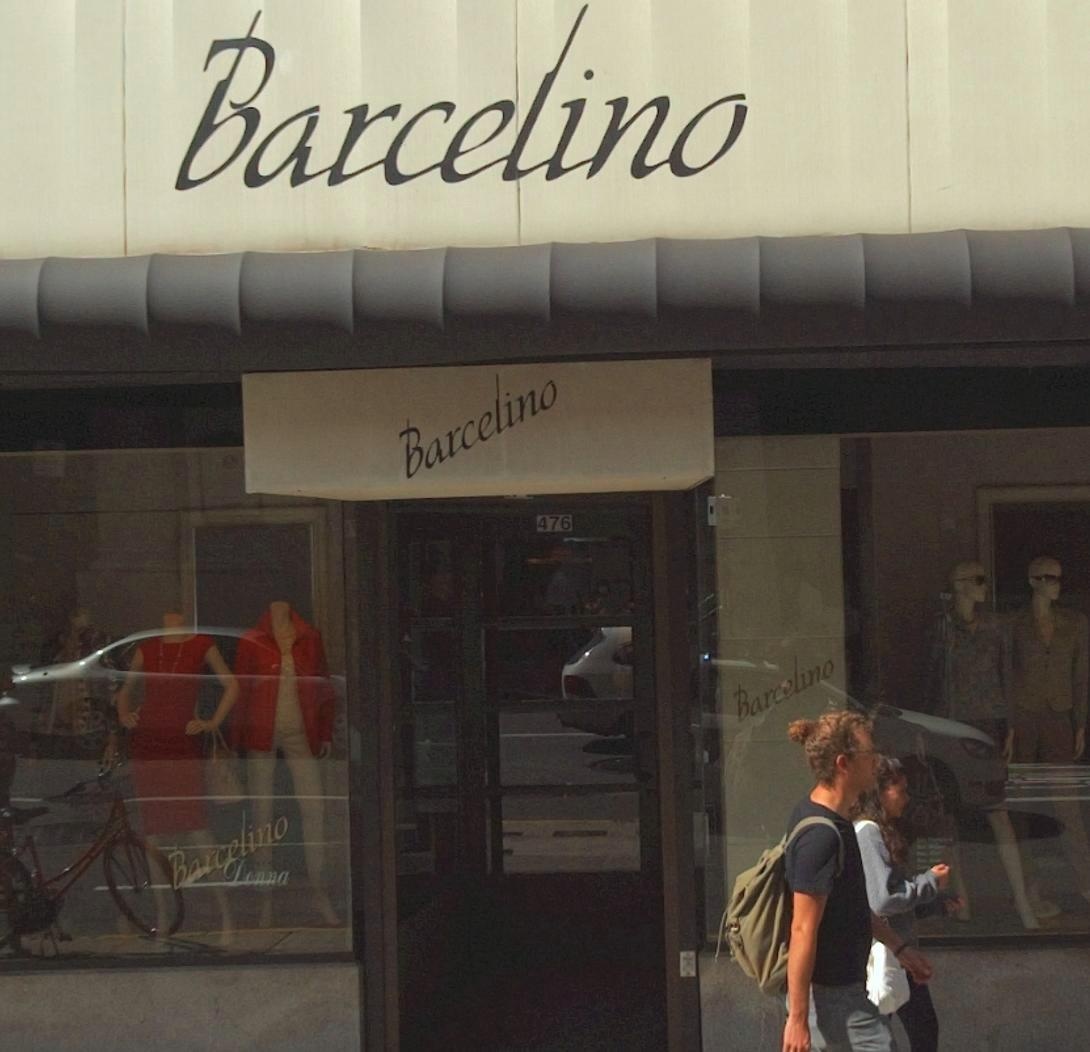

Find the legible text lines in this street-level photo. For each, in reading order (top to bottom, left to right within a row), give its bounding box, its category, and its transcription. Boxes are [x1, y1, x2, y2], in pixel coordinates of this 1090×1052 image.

[169, 1, 756, 194] BusinessName: Barcelino
[395, 367, 567, 481] BusinessName: Barcelino
[538, 514, 571, 532] StreetNumber: 476
[730, 651, 837, 726] BusinessName: Barcelino
[164, 805, 297, 897] BusinessName: Barcelino
[222, 856, 291, 887] BusinessName: Denna